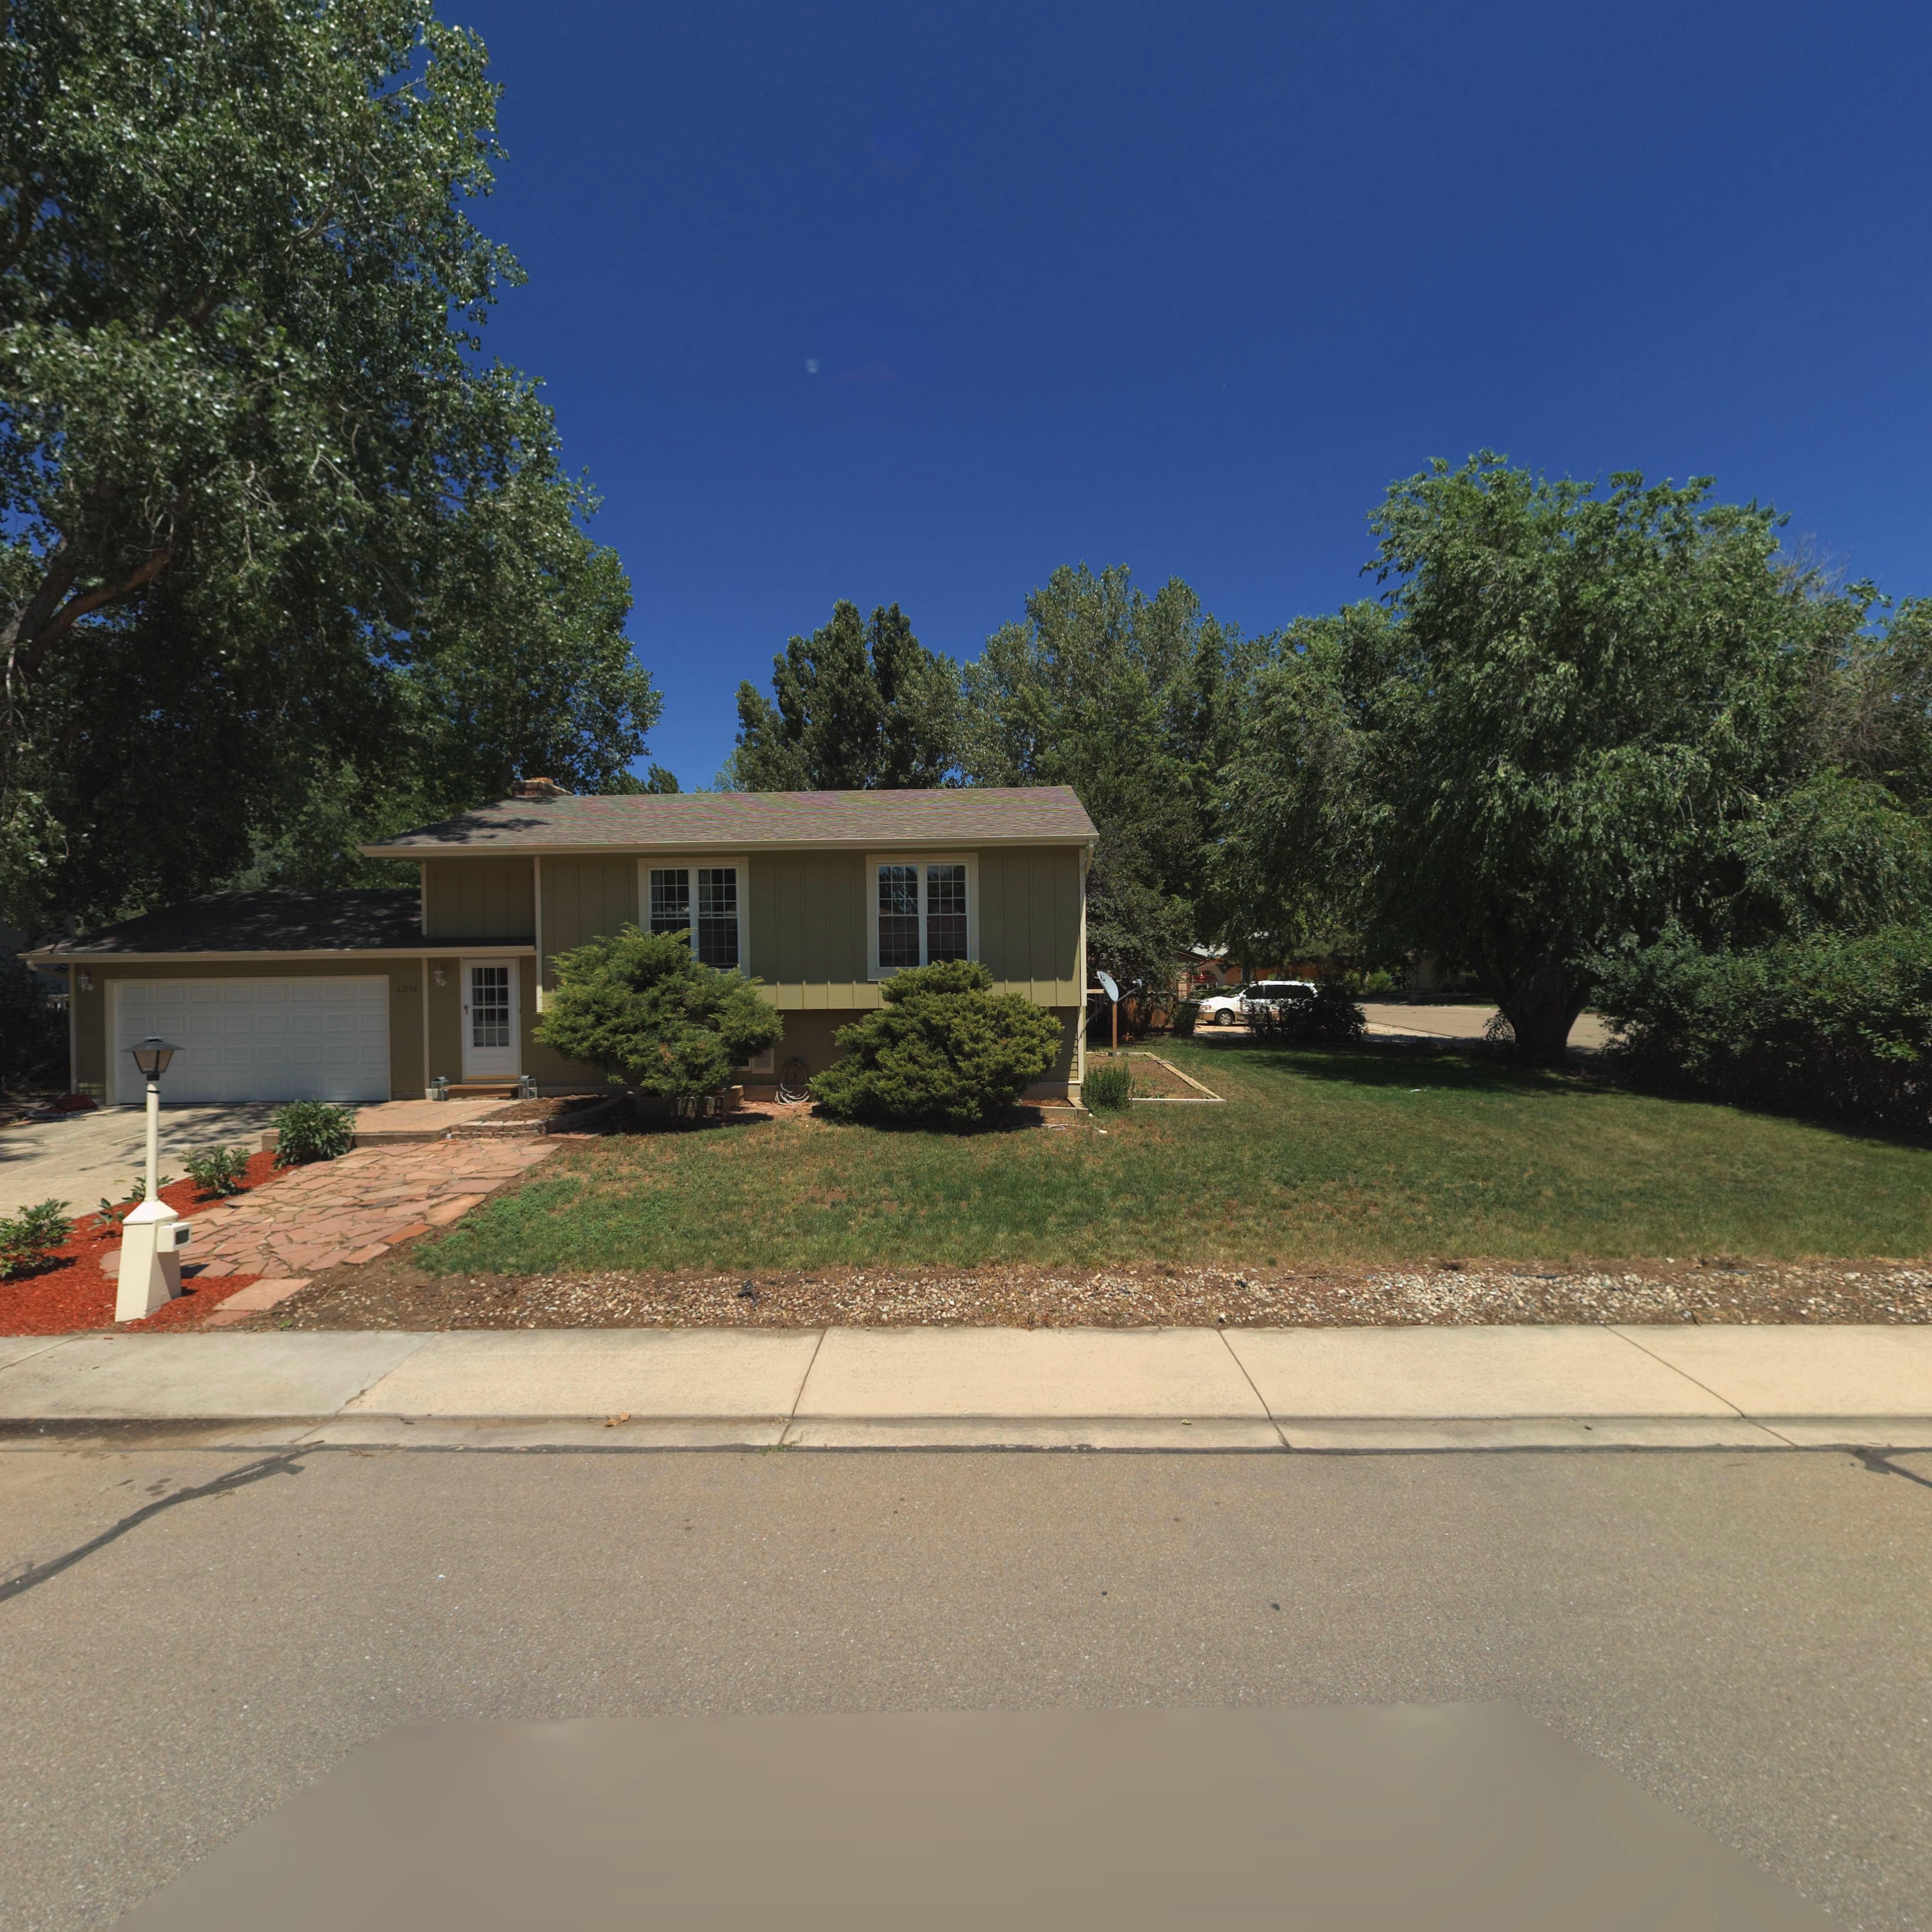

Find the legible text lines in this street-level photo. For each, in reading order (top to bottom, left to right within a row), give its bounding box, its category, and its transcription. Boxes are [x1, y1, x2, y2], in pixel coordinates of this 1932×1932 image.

[397, 985, 417, 993] StreetNumber: 2210